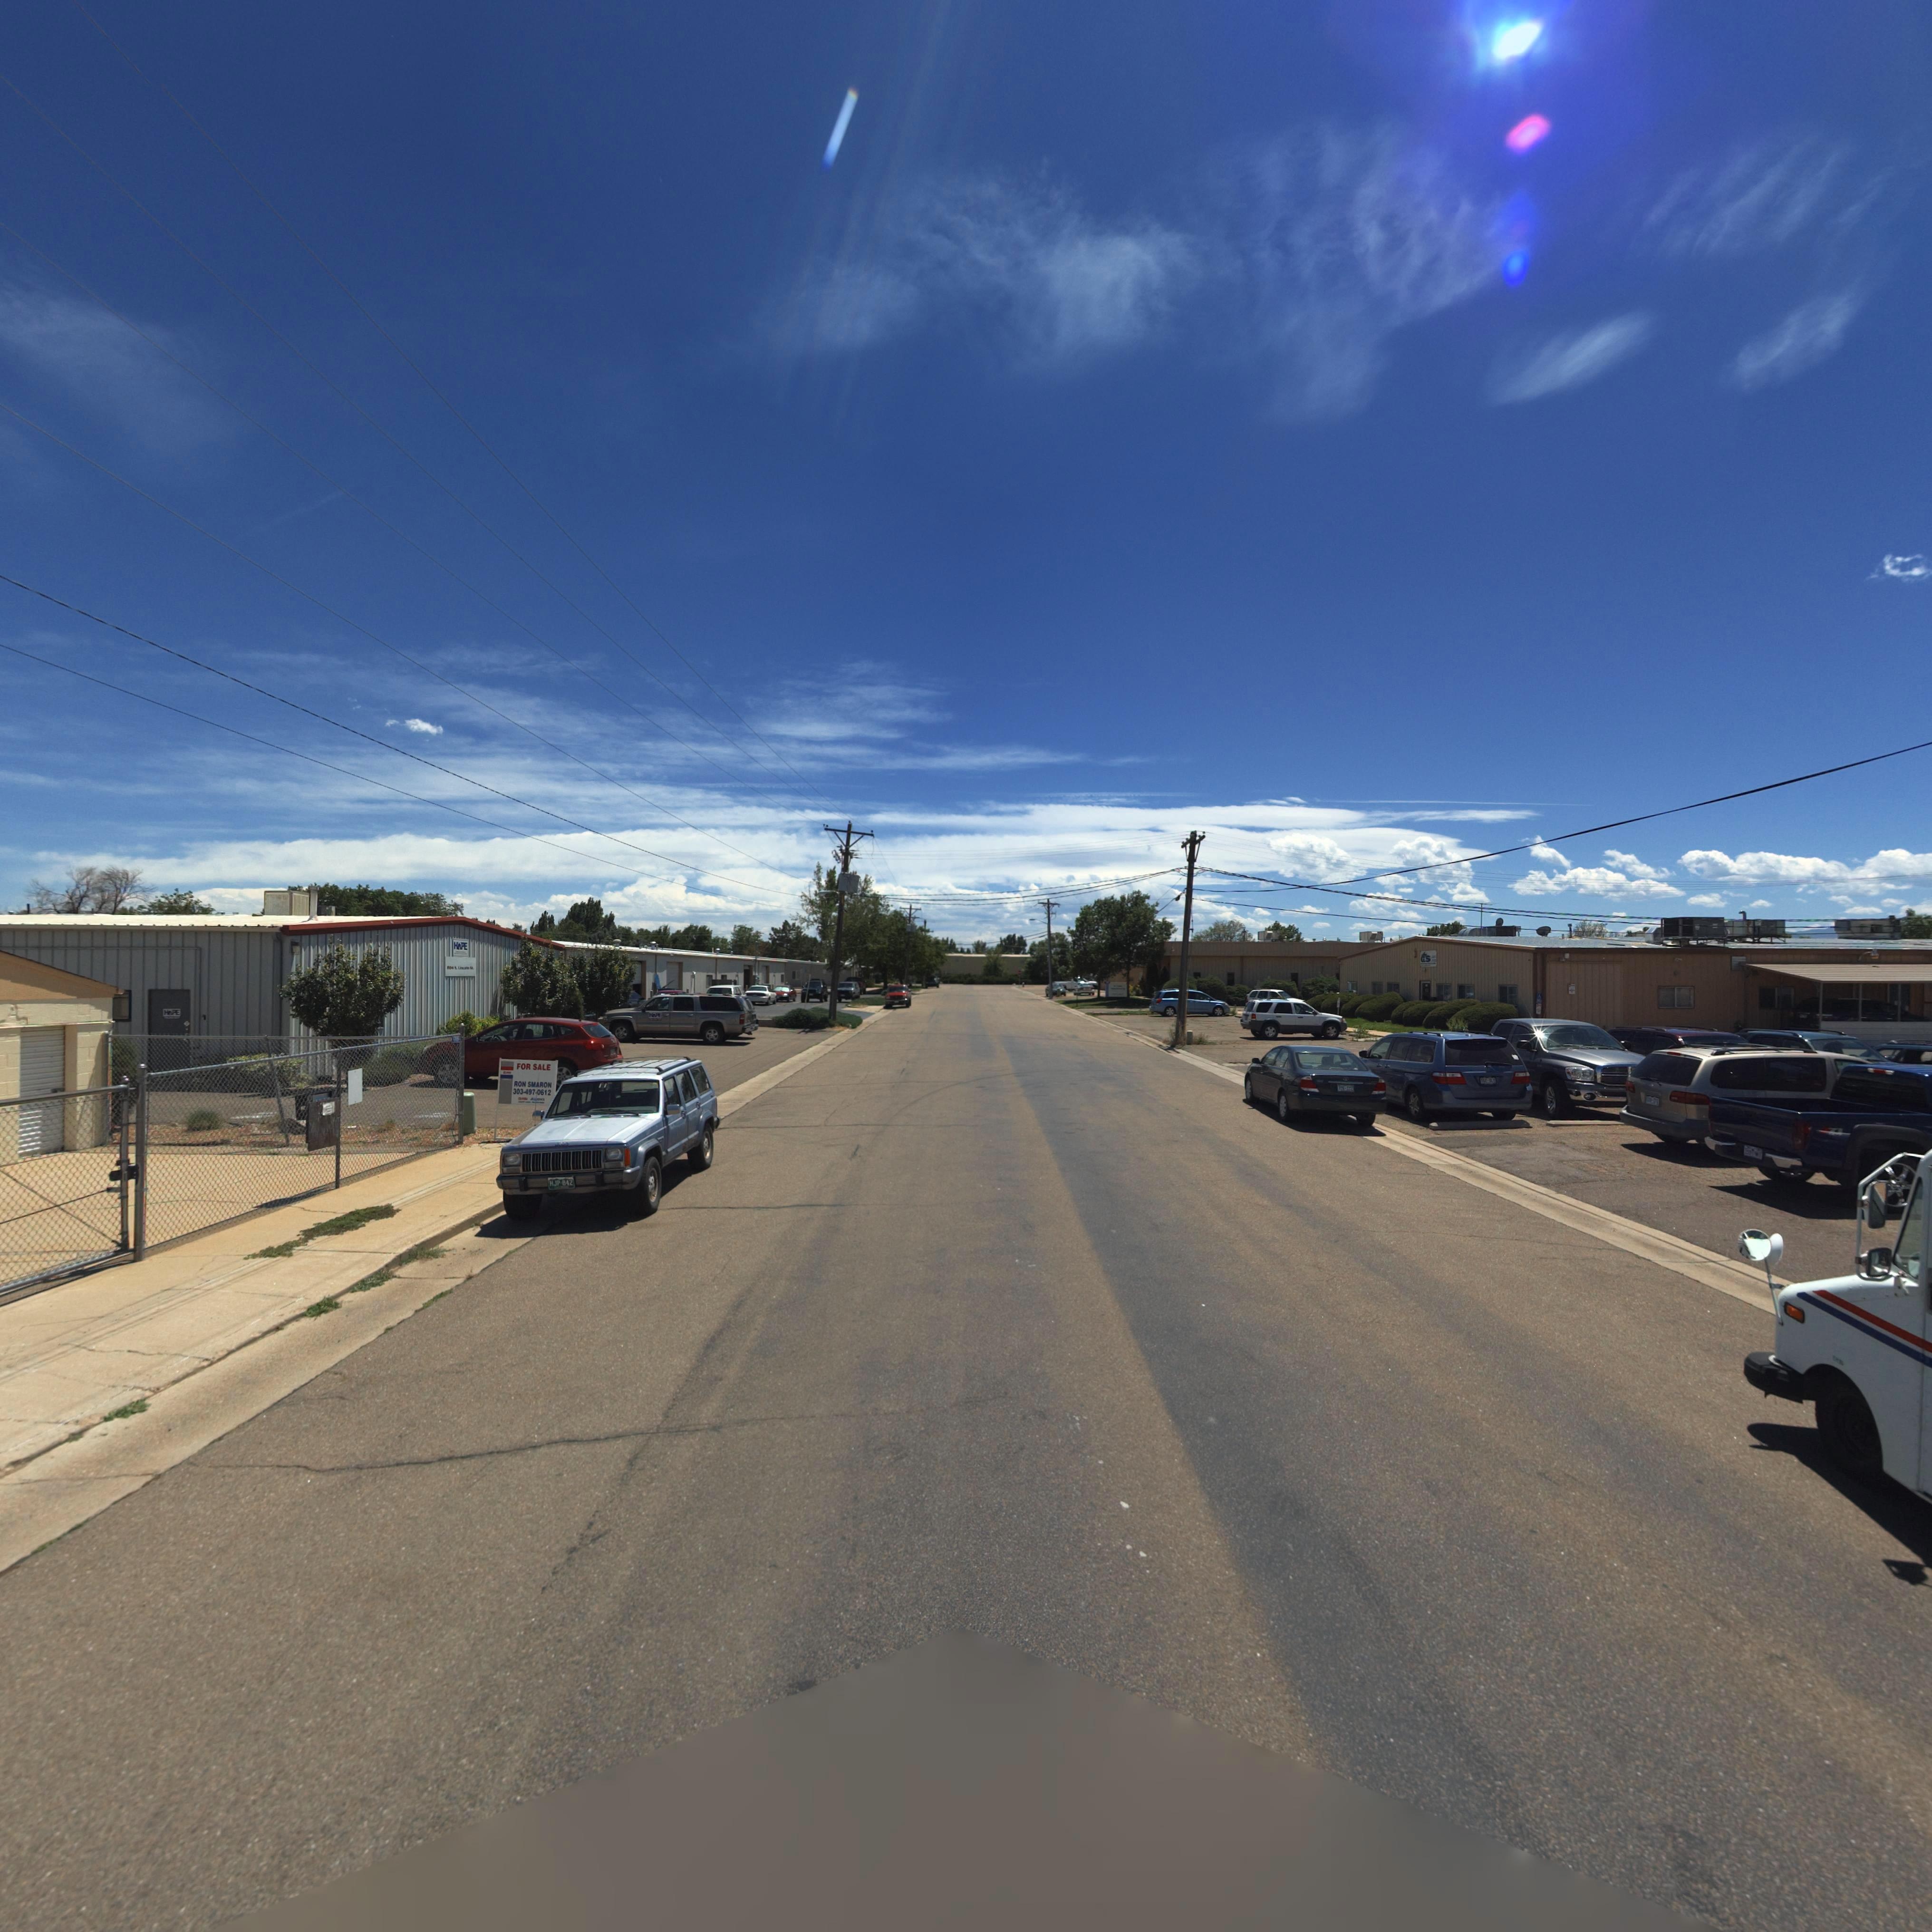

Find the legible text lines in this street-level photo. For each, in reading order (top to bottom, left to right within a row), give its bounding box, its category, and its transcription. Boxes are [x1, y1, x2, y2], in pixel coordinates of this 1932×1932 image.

[454, 941, 467, 950] BusinessName: H*PE
[1420, 955, 1431, 962] BusinessName: G*S
[446, 966, 454, 969] StreetNumber: **4
[454, 965, 473, 970] StreetName: S. Li*c*** **
[164, 1009, 180, 1015] BusinessName: H*PE